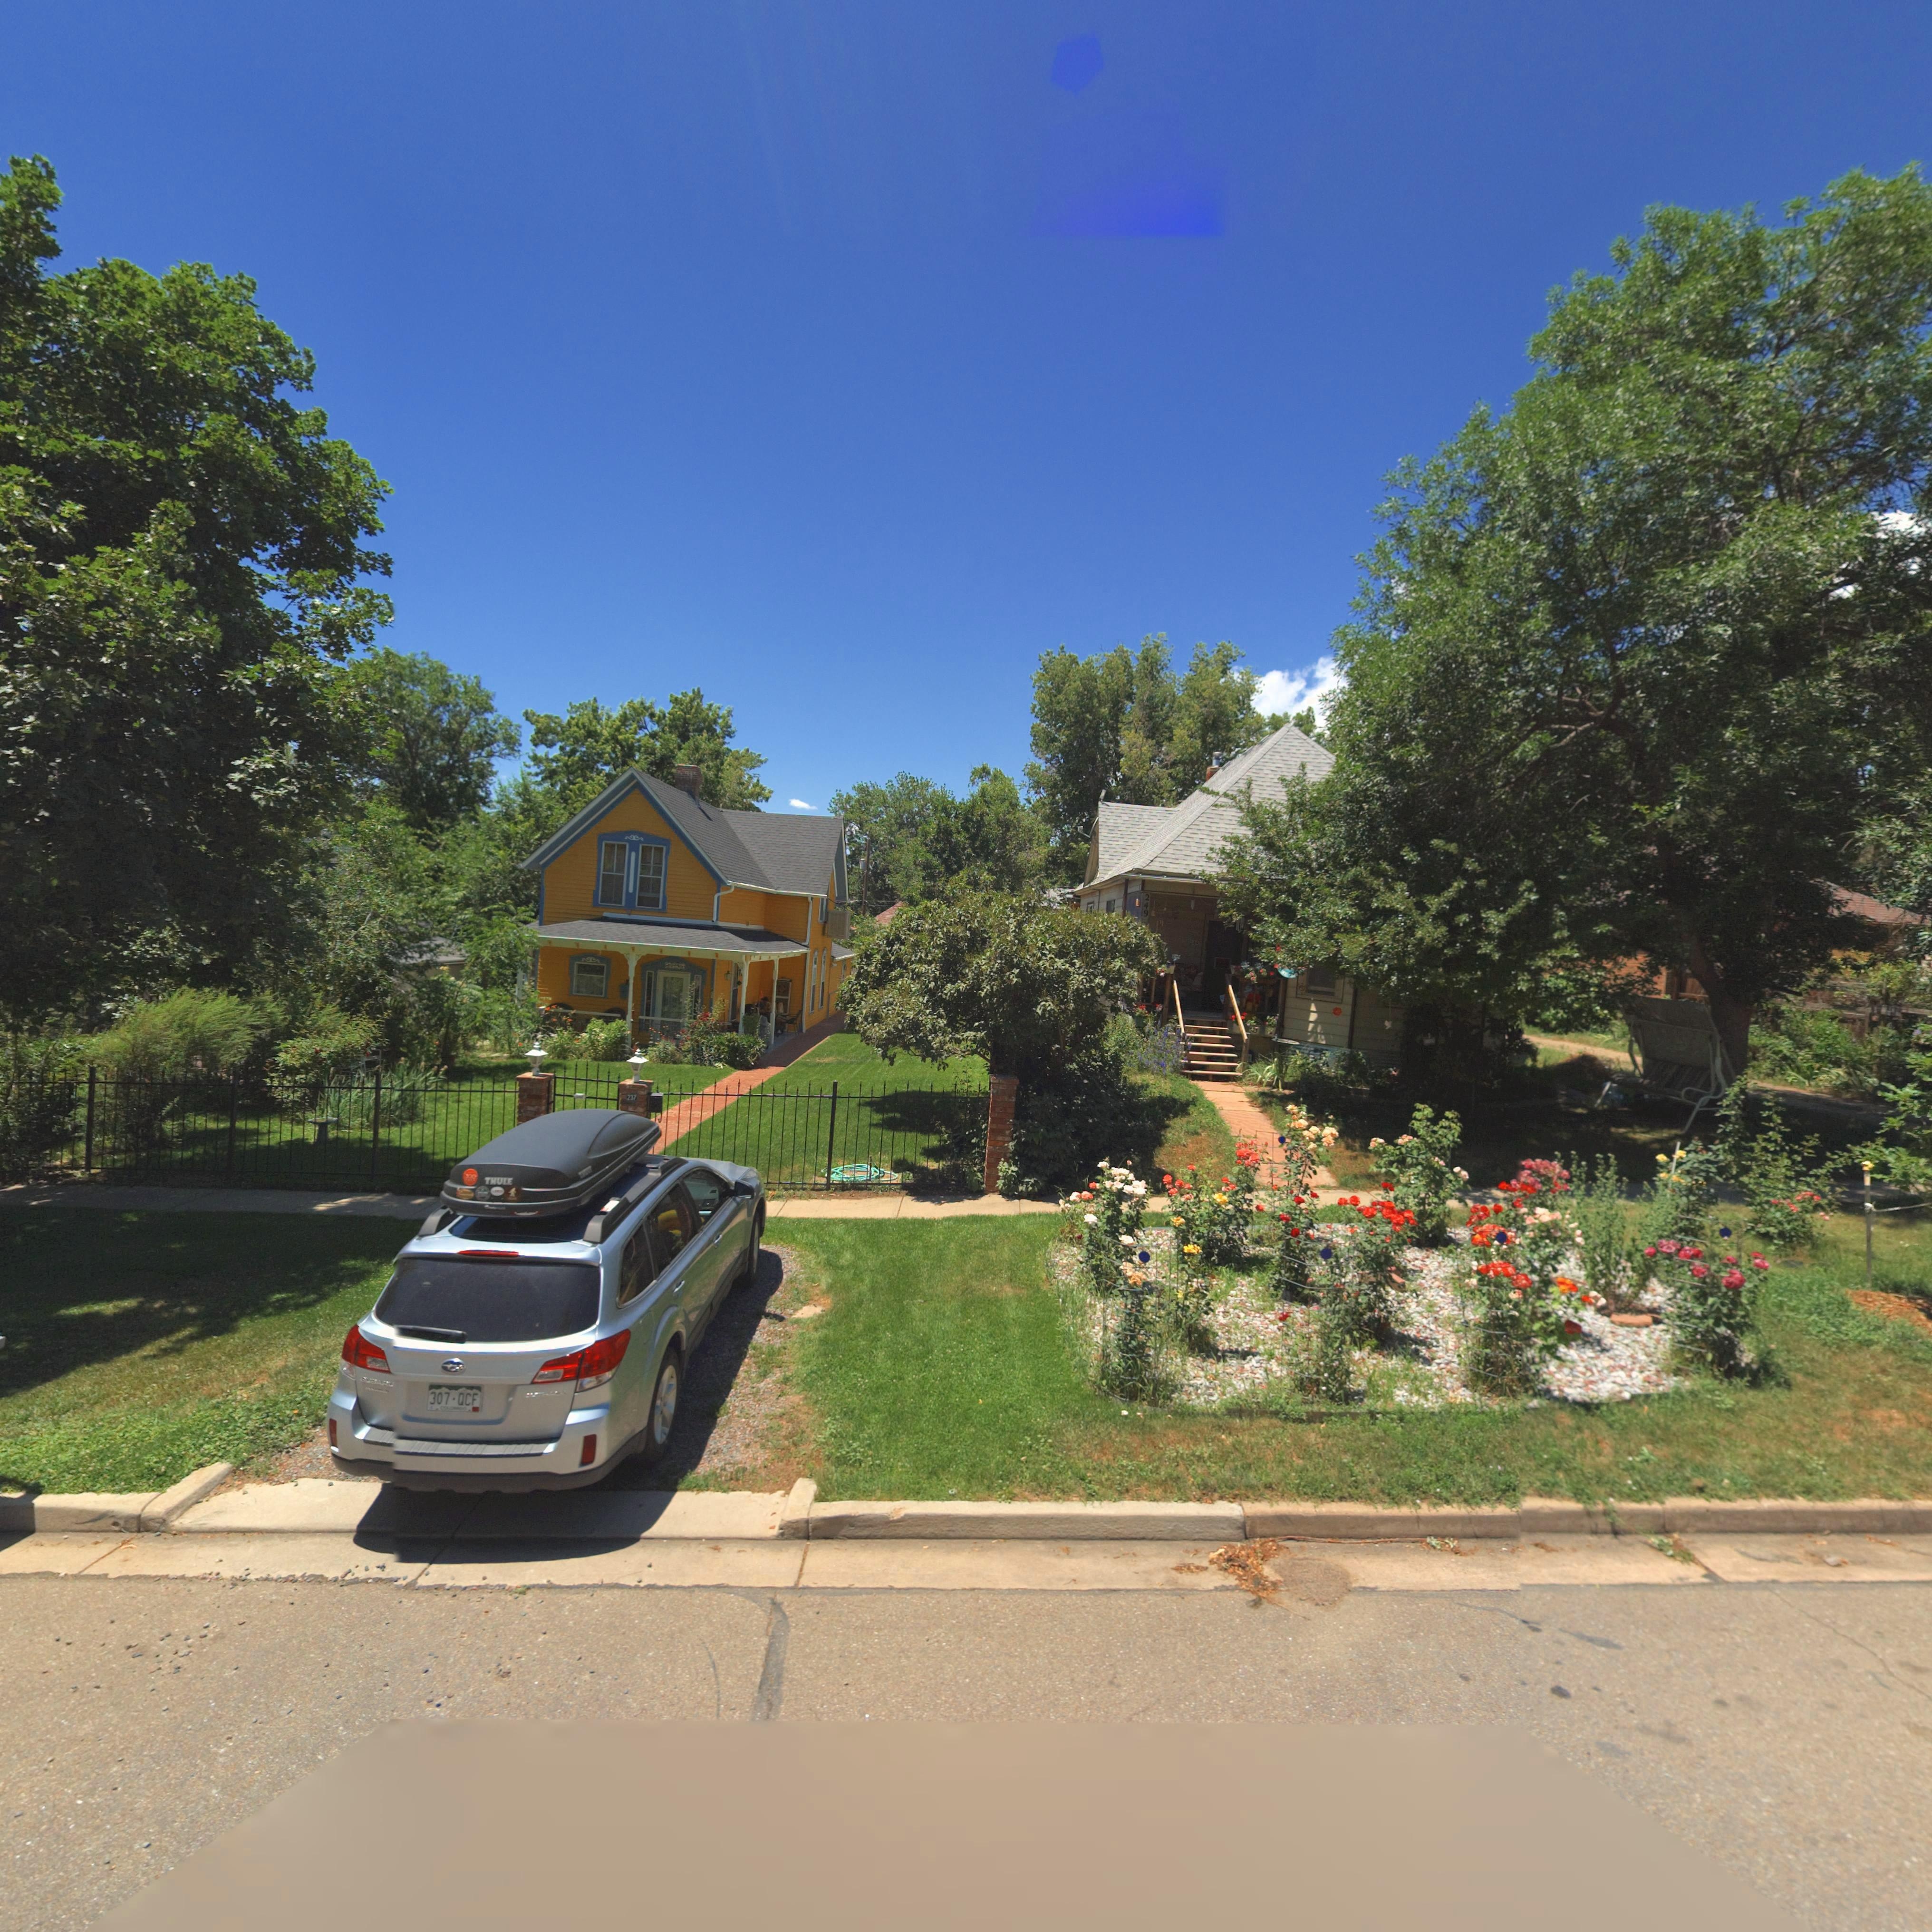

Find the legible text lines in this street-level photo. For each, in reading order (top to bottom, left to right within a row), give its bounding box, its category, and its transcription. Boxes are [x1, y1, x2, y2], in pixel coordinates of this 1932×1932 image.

[1143, 893, 1150, 917] StreetNumber: 249
[627, 1094, 637, 1100] StreetNumber: 237